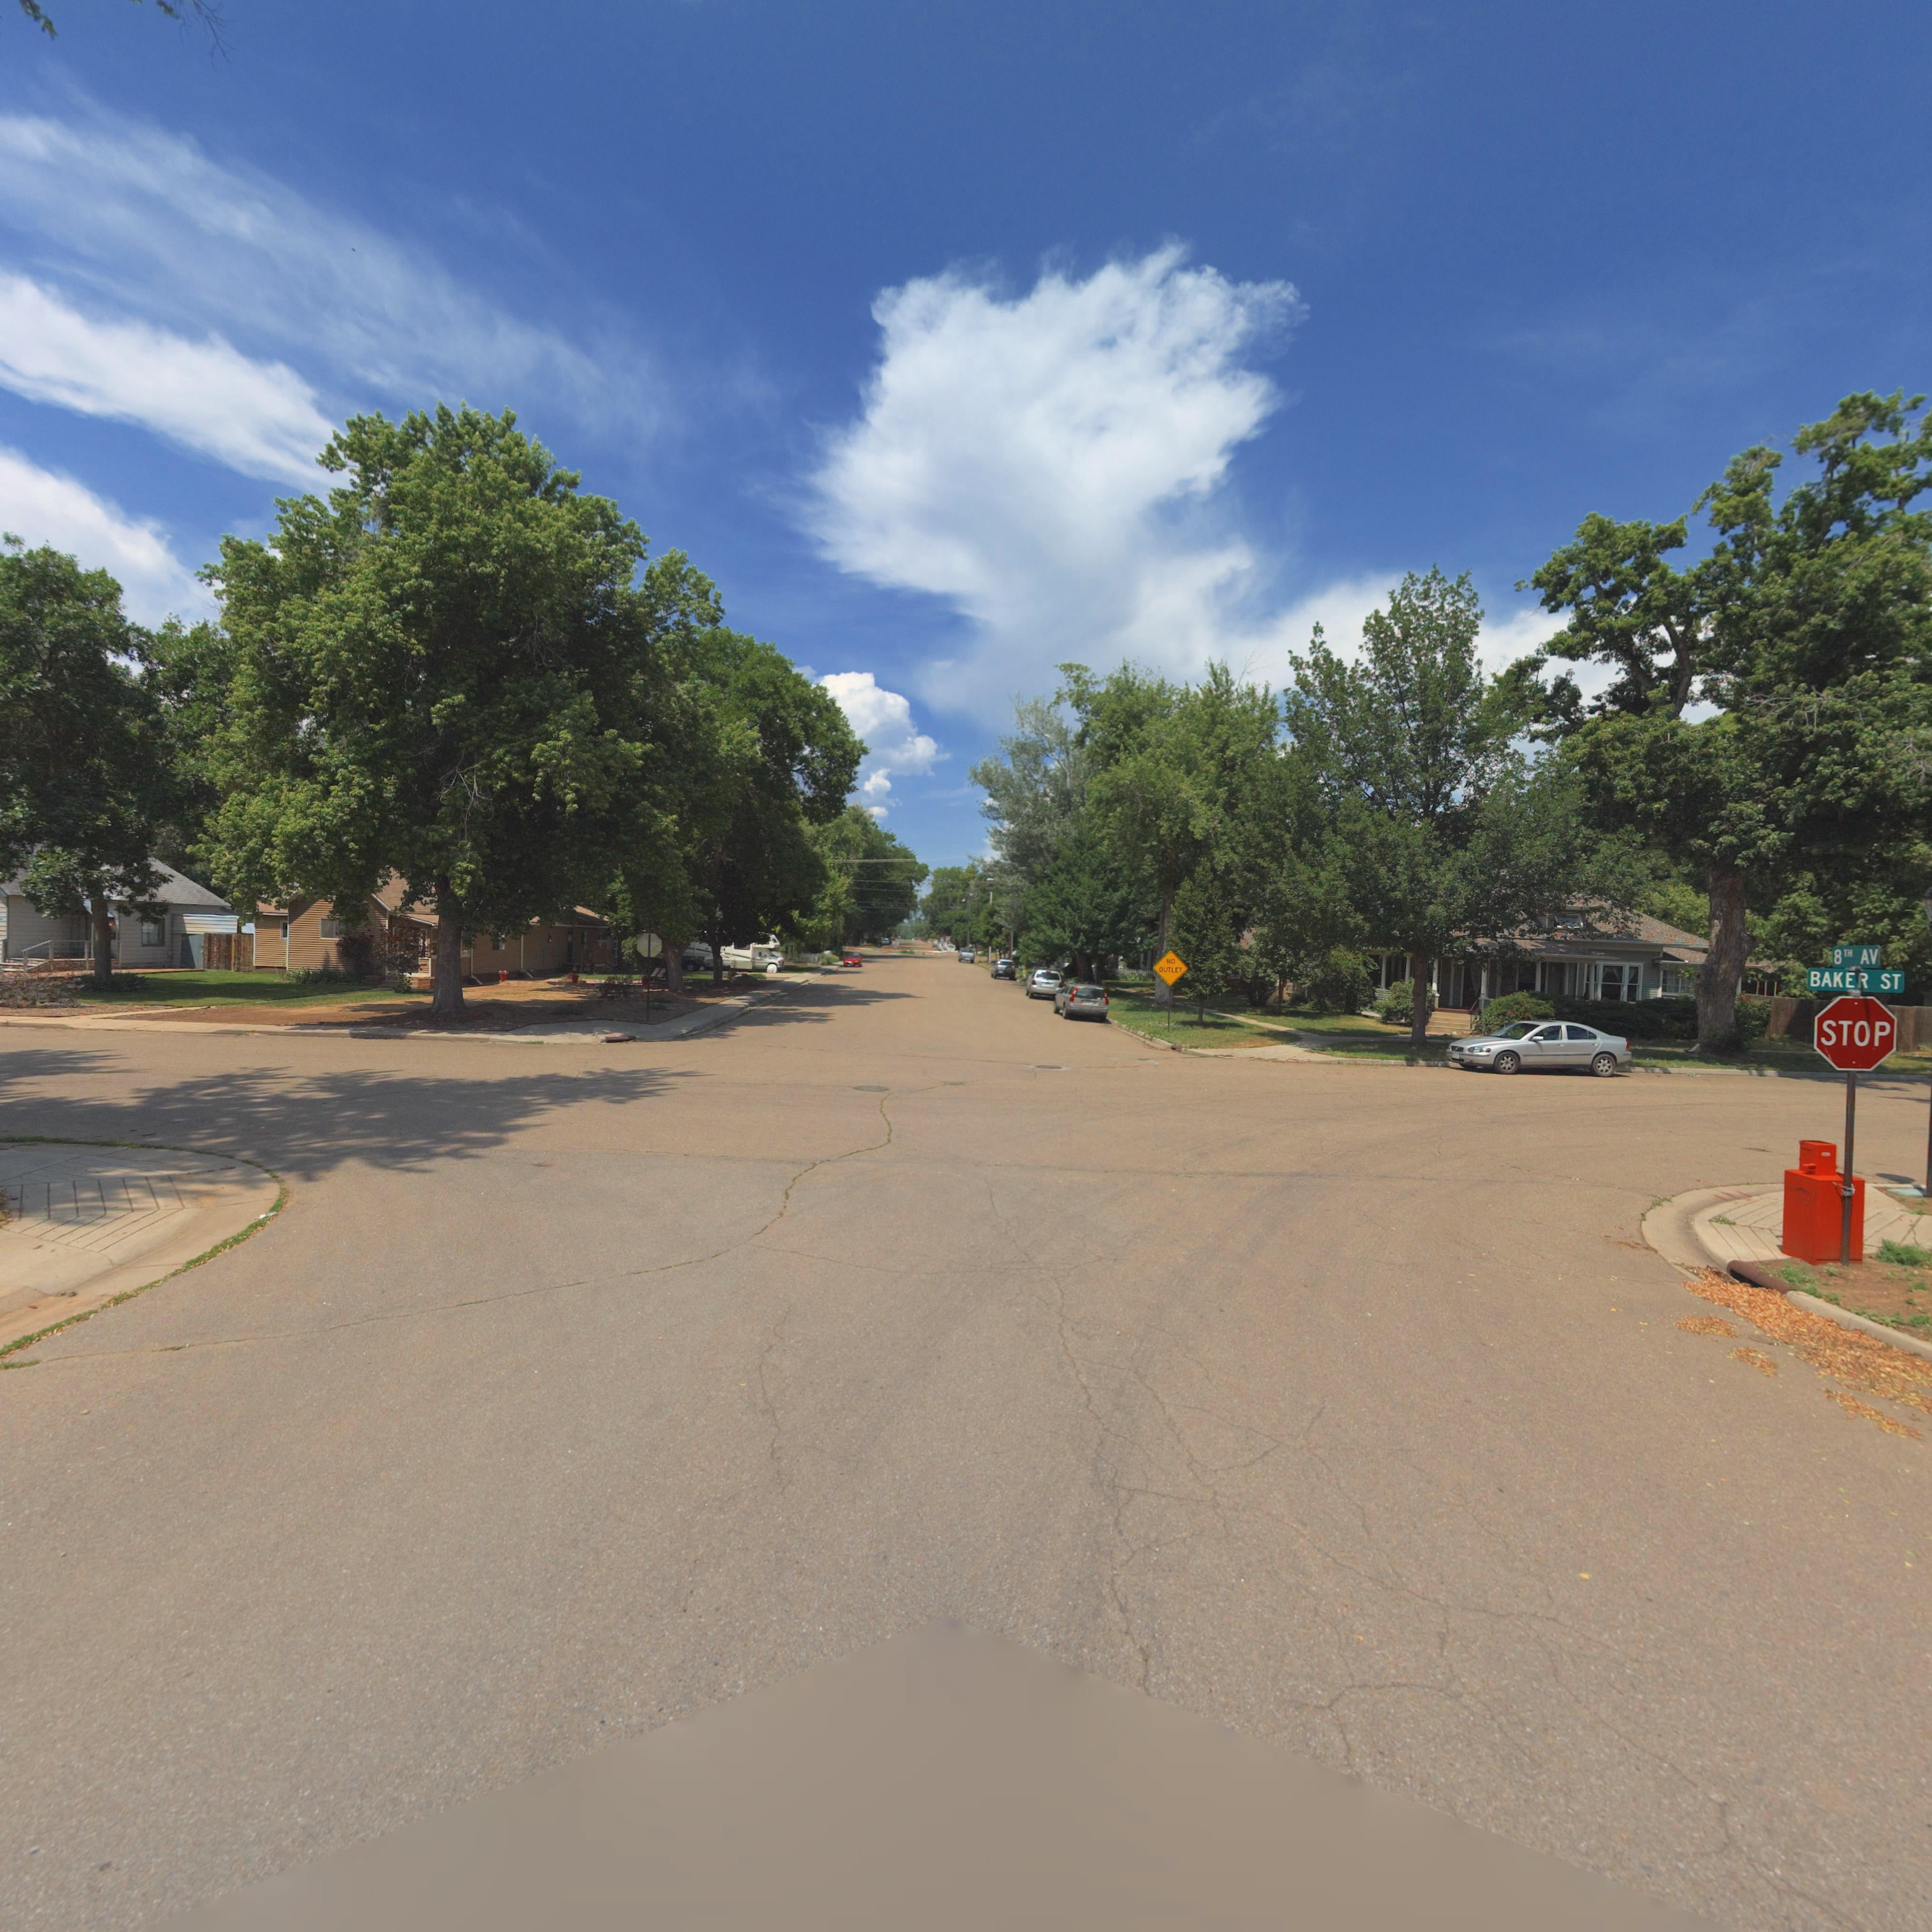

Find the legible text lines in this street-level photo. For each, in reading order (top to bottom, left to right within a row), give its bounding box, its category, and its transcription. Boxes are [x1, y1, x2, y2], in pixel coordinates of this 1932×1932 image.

[1832, 948, 1879, 966] StreetName: 8TH AV
[1808, 970, 1903, 990] StreetName: BAKER ST